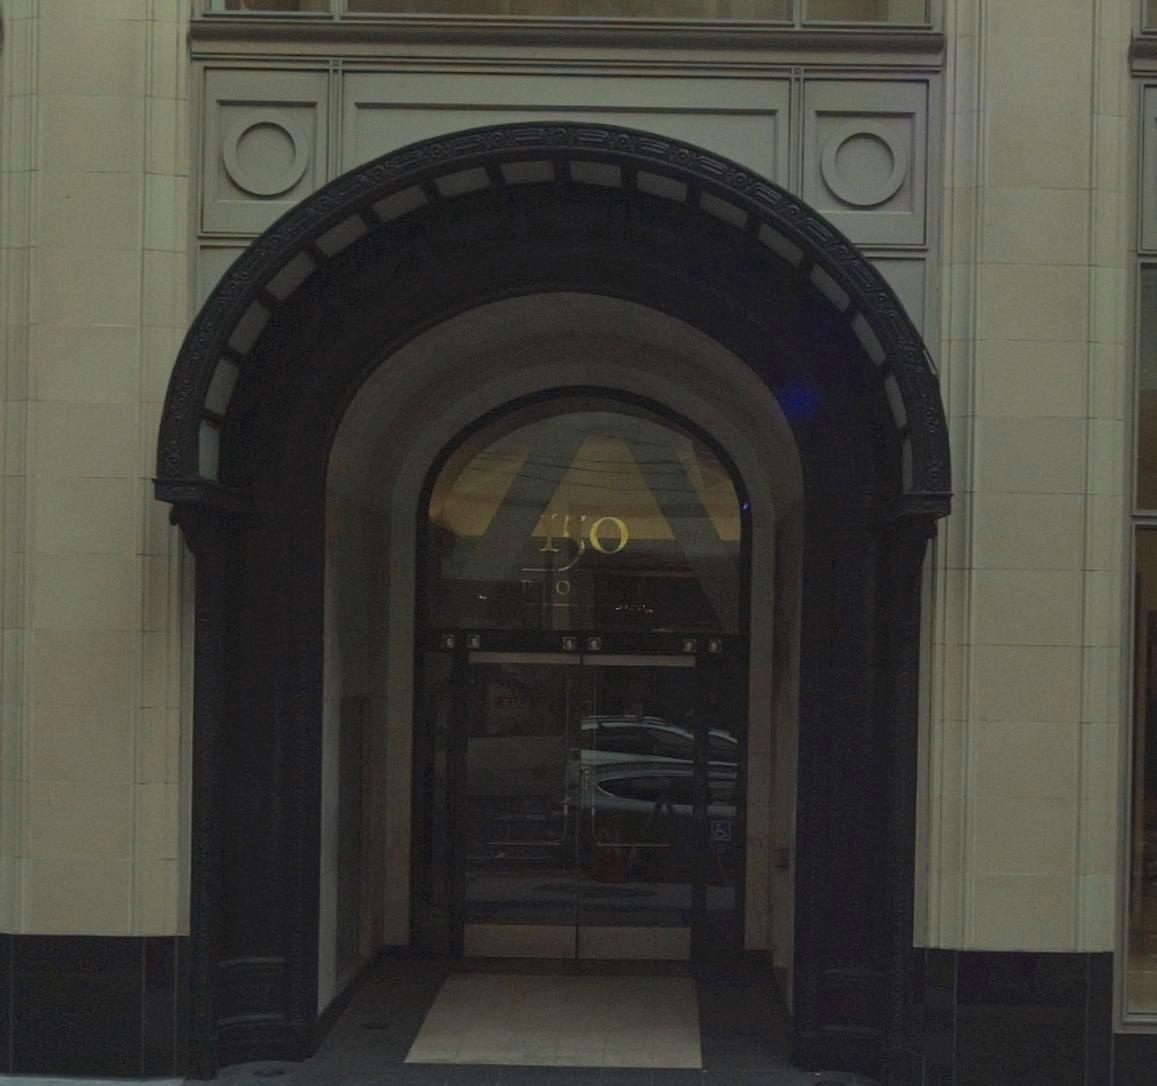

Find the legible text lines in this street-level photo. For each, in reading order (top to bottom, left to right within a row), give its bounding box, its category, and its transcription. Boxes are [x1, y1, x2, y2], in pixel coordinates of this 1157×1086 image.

[533, 508, 633, 579] StreetNumber: 150
[518, 576, 537, 602] None: P
[552, 576, 576, 600] None: O